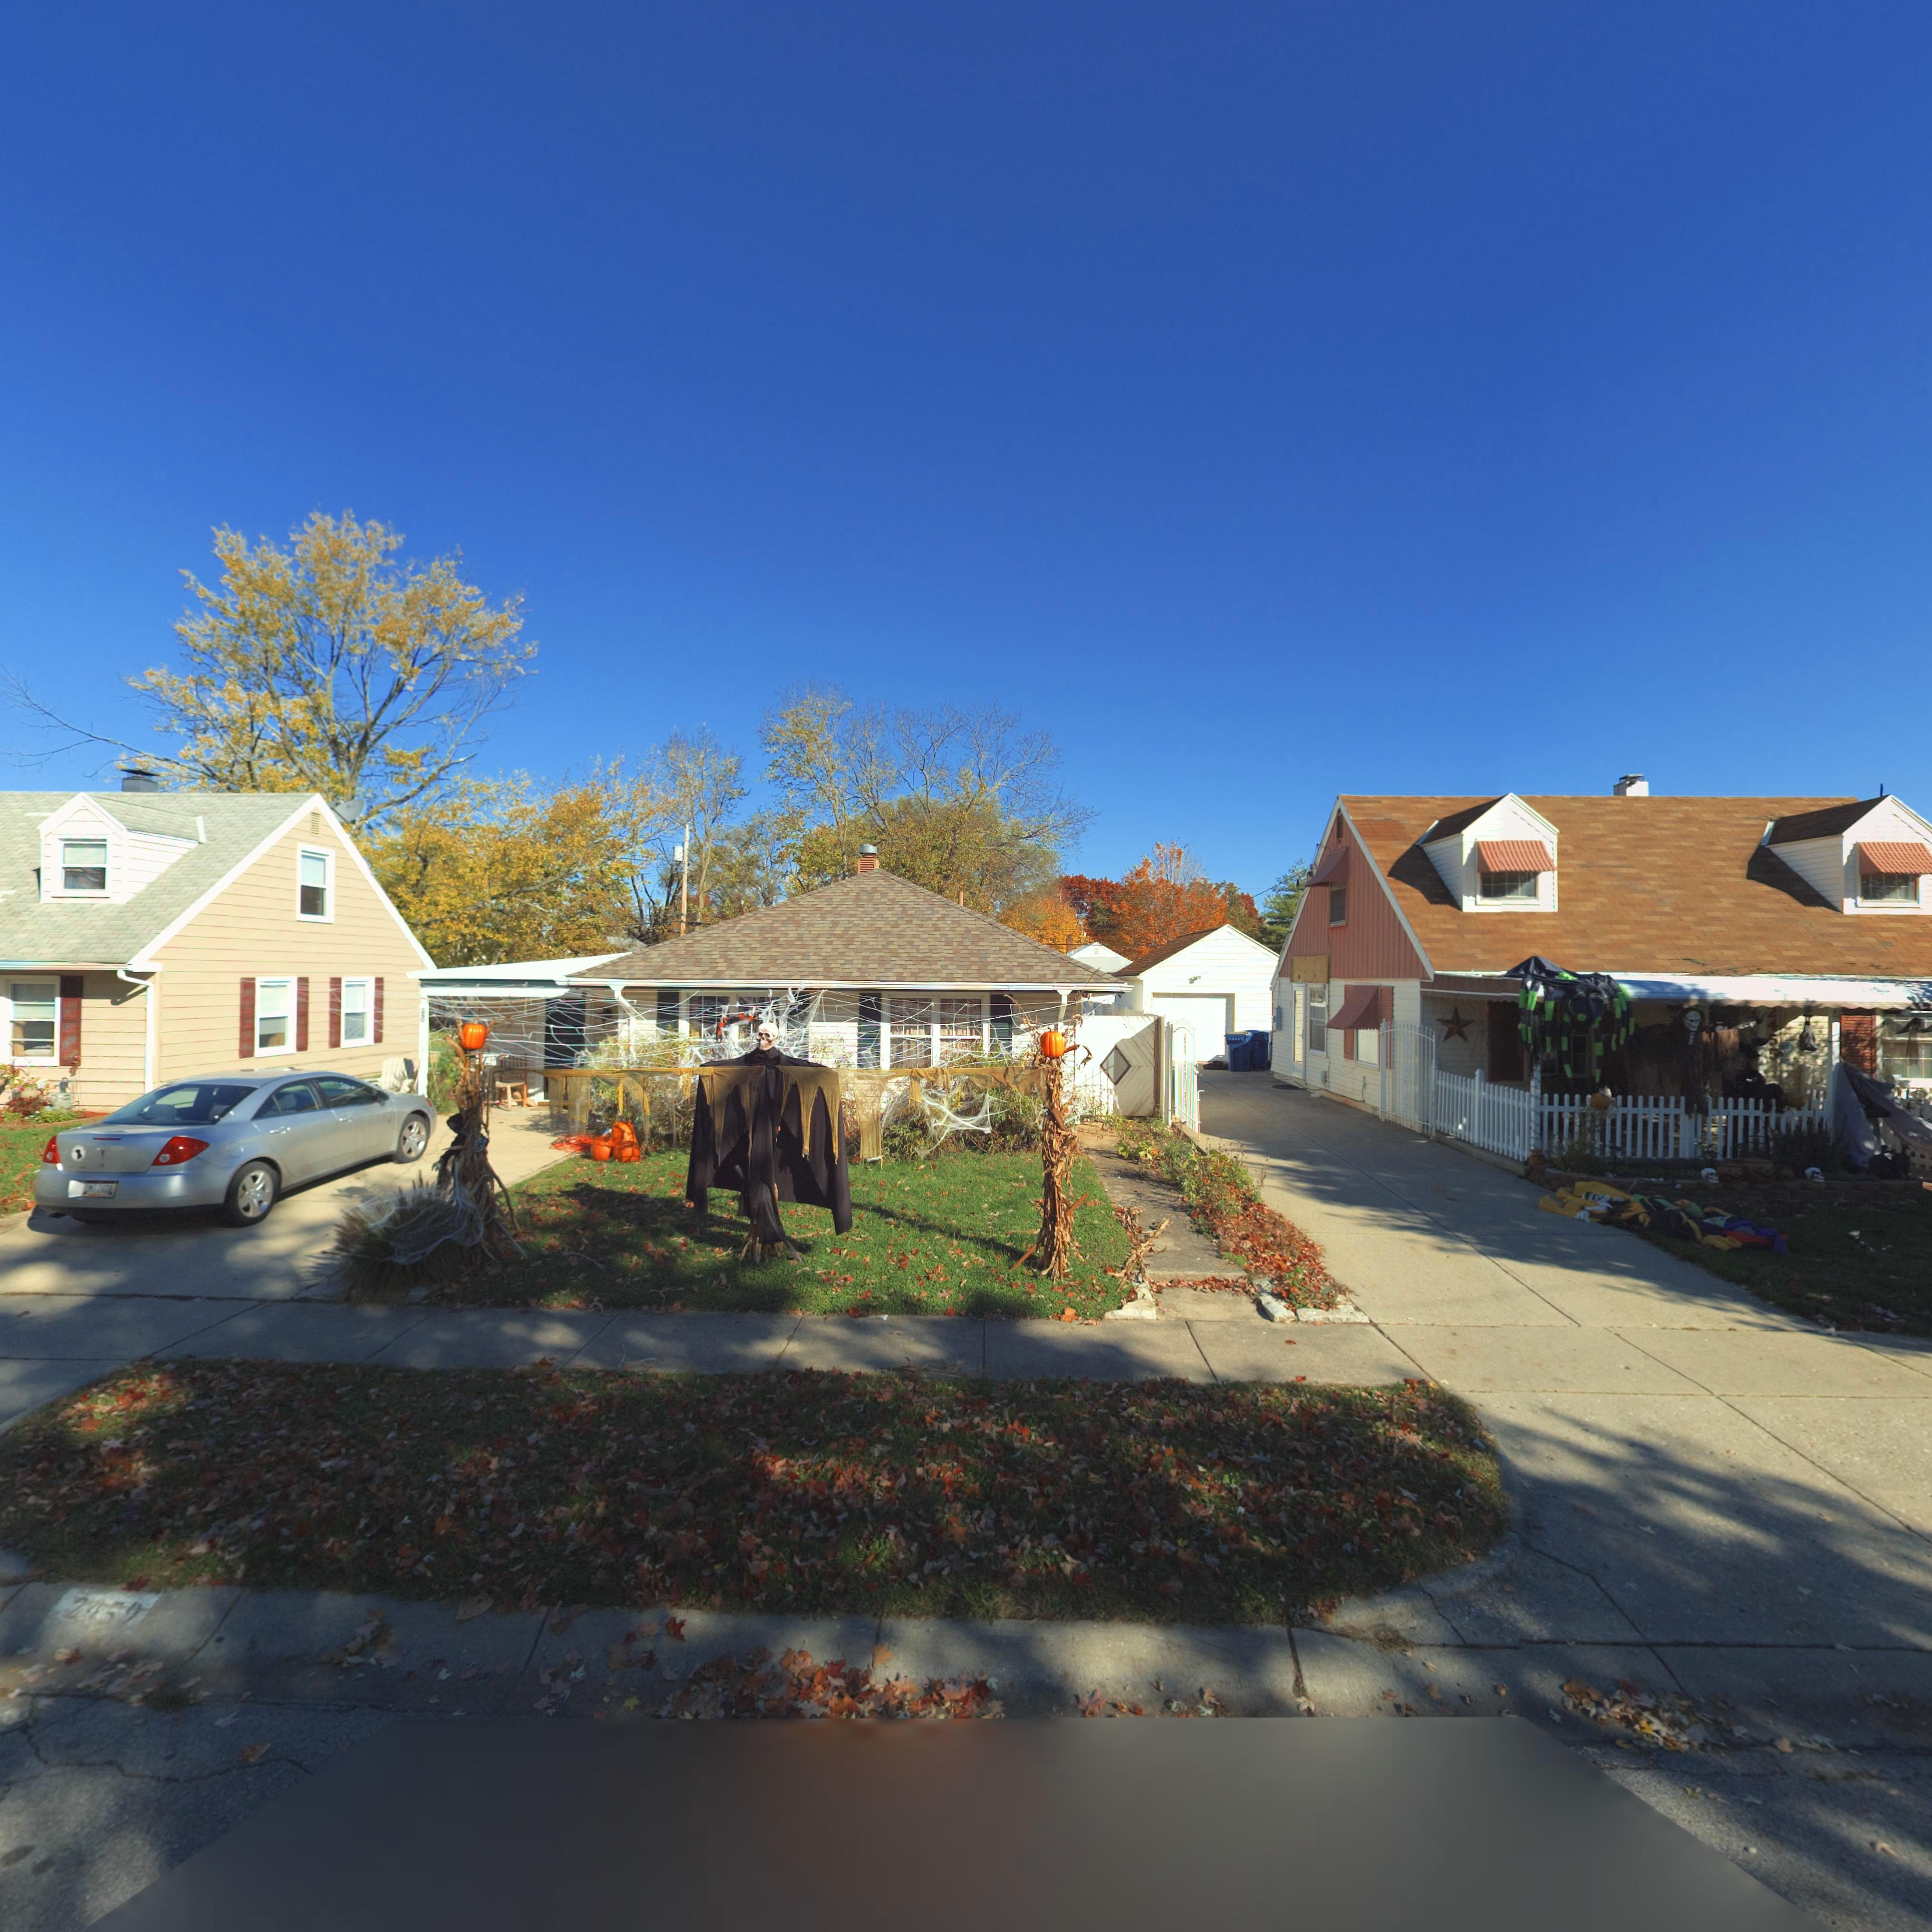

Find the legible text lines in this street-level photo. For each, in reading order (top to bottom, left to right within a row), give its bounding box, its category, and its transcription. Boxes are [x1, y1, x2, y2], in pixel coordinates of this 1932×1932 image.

[1768, 1006, 1779, 1061] StreetNumber: 2455
[61, 1596, 144, 1626] StreetNumber: 2459